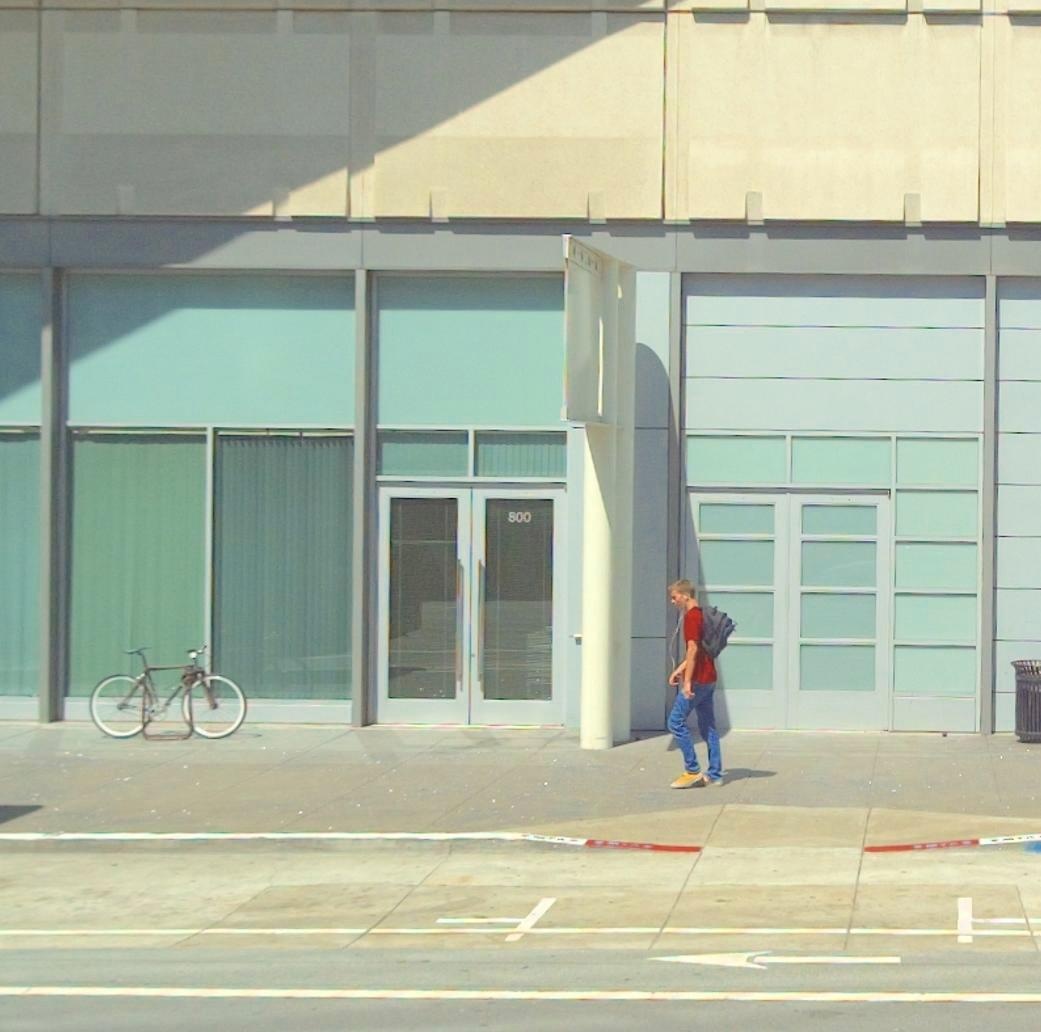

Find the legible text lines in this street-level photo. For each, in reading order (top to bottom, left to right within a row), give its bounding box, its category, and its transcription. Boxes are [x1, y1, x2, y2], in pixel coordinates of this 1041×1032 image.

[507, 511, 533, 524] StreetNumber: 800